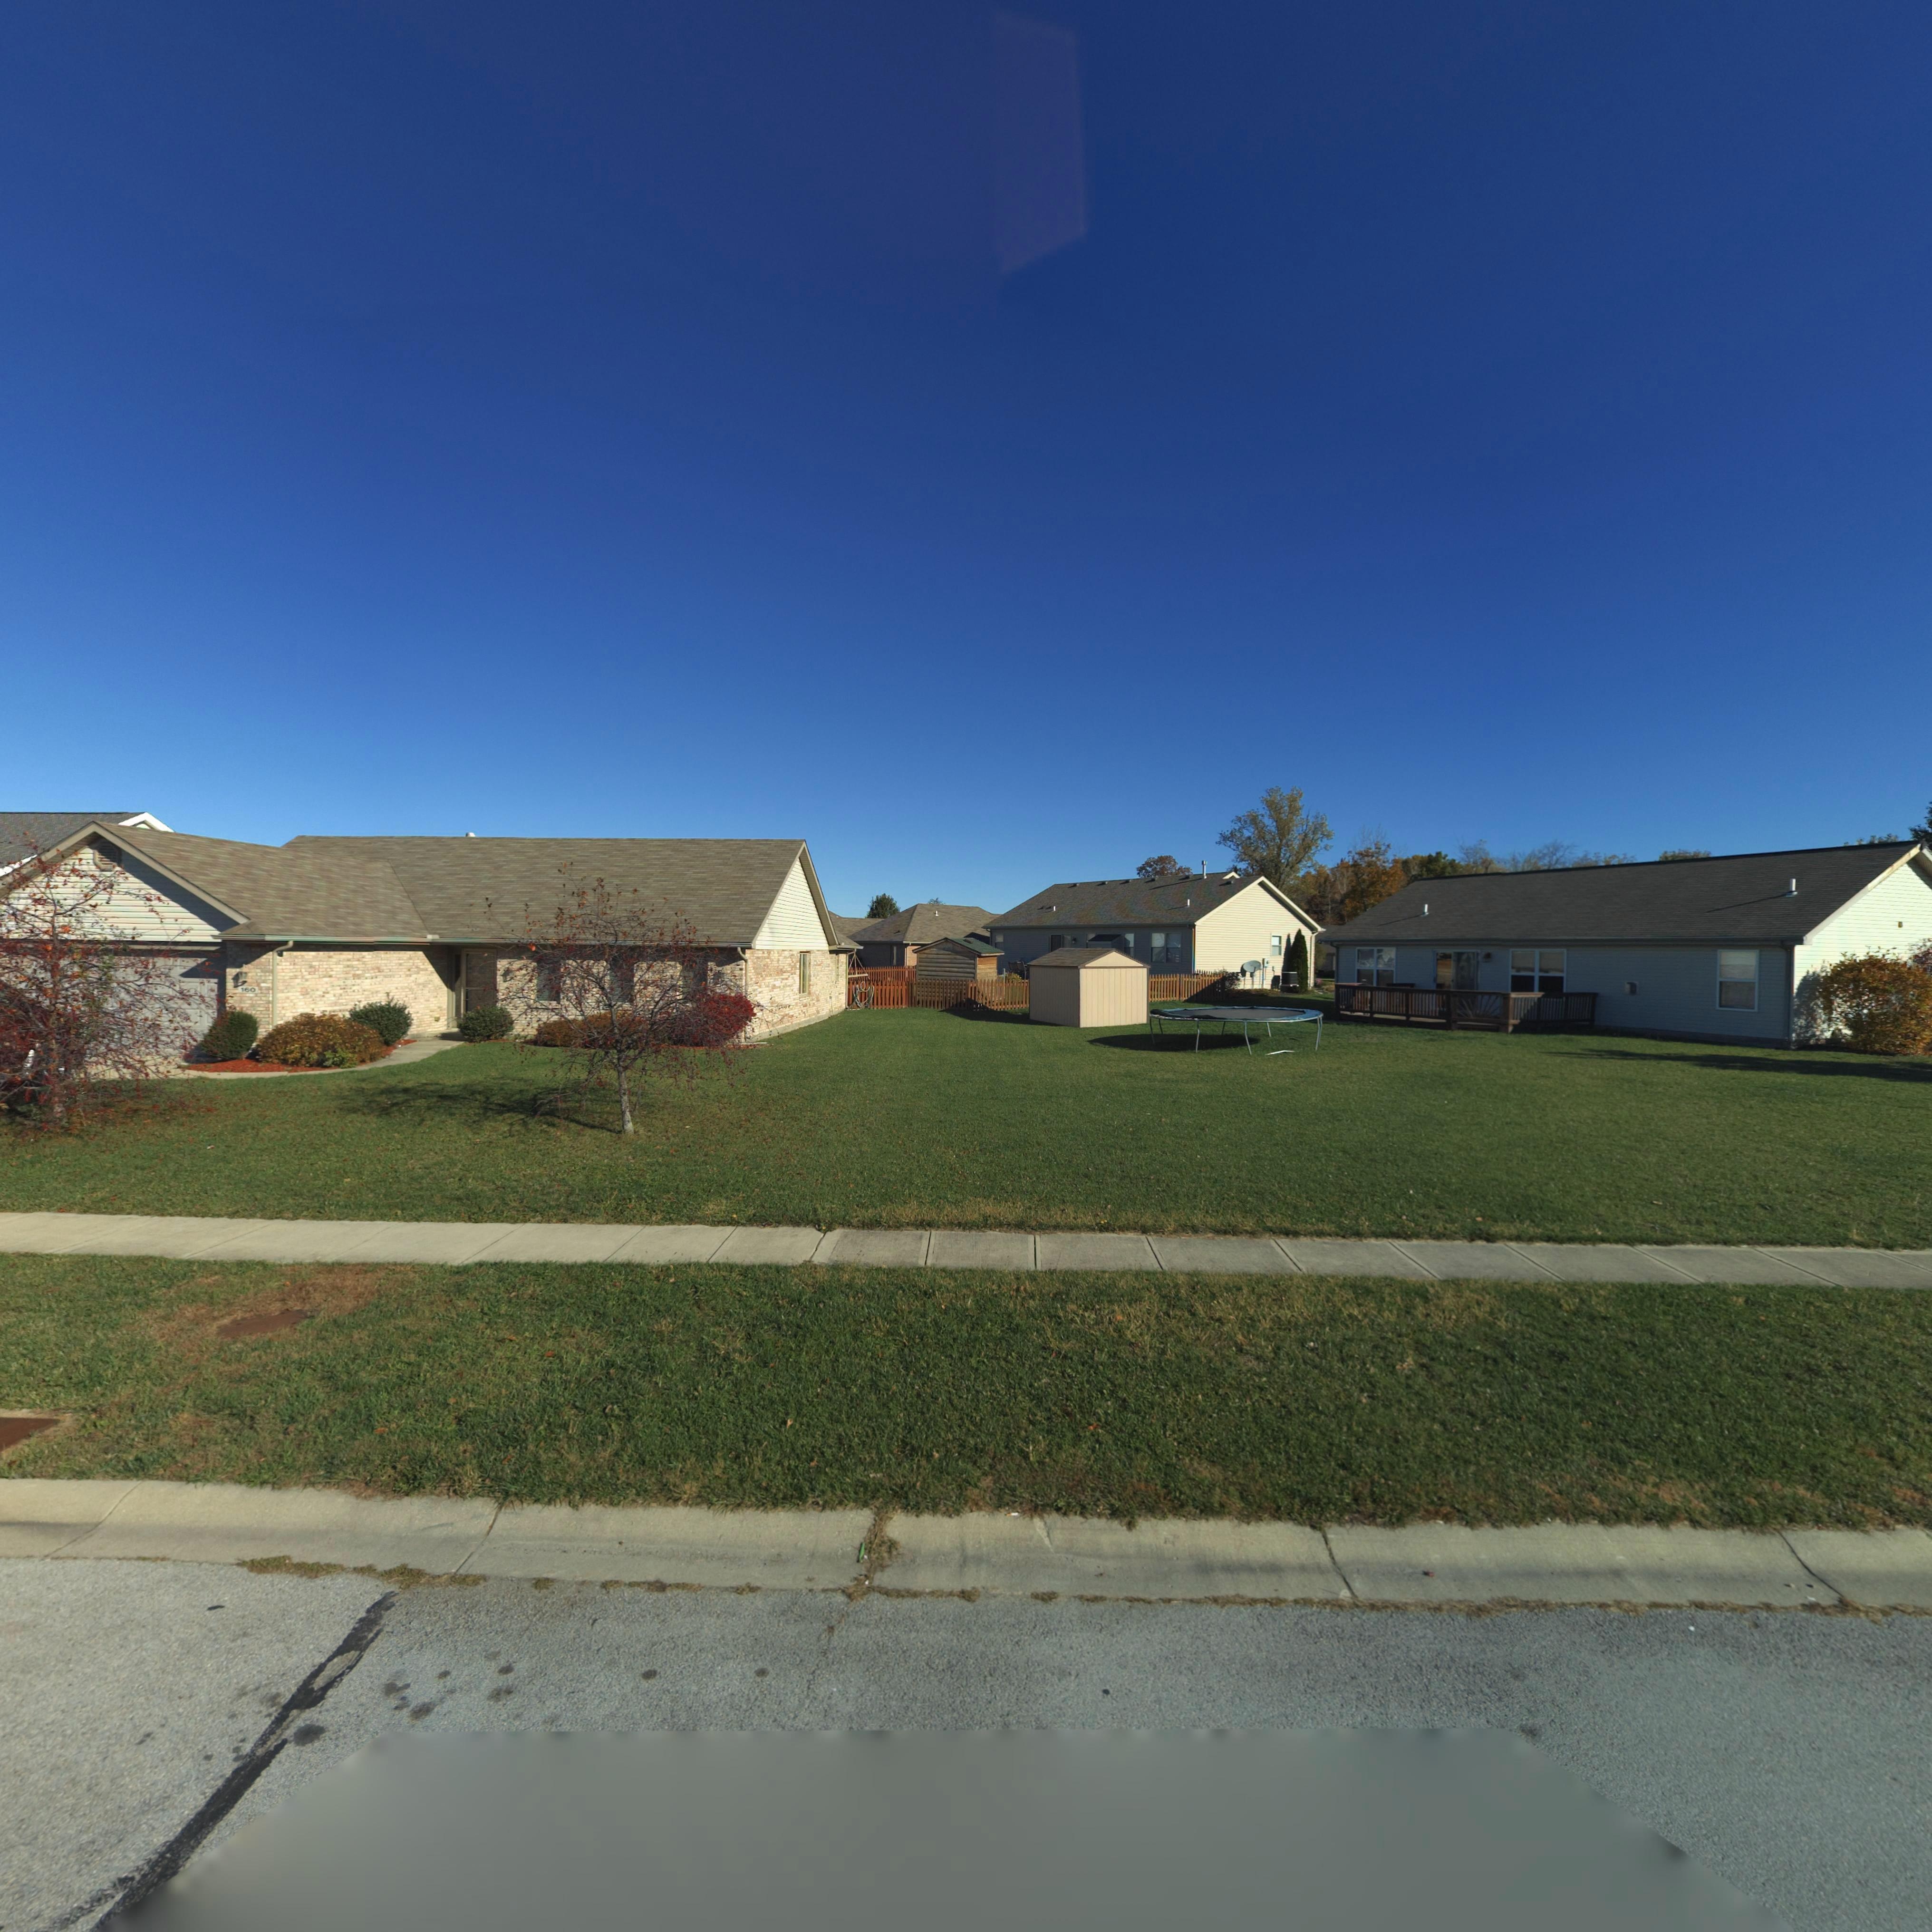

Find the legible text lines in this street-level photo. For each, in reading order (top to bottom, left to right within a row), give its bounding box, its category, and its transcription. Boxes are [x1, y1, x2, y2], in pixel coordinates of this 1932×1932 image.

[240, 986, 256, 993] StreetNumber: 160